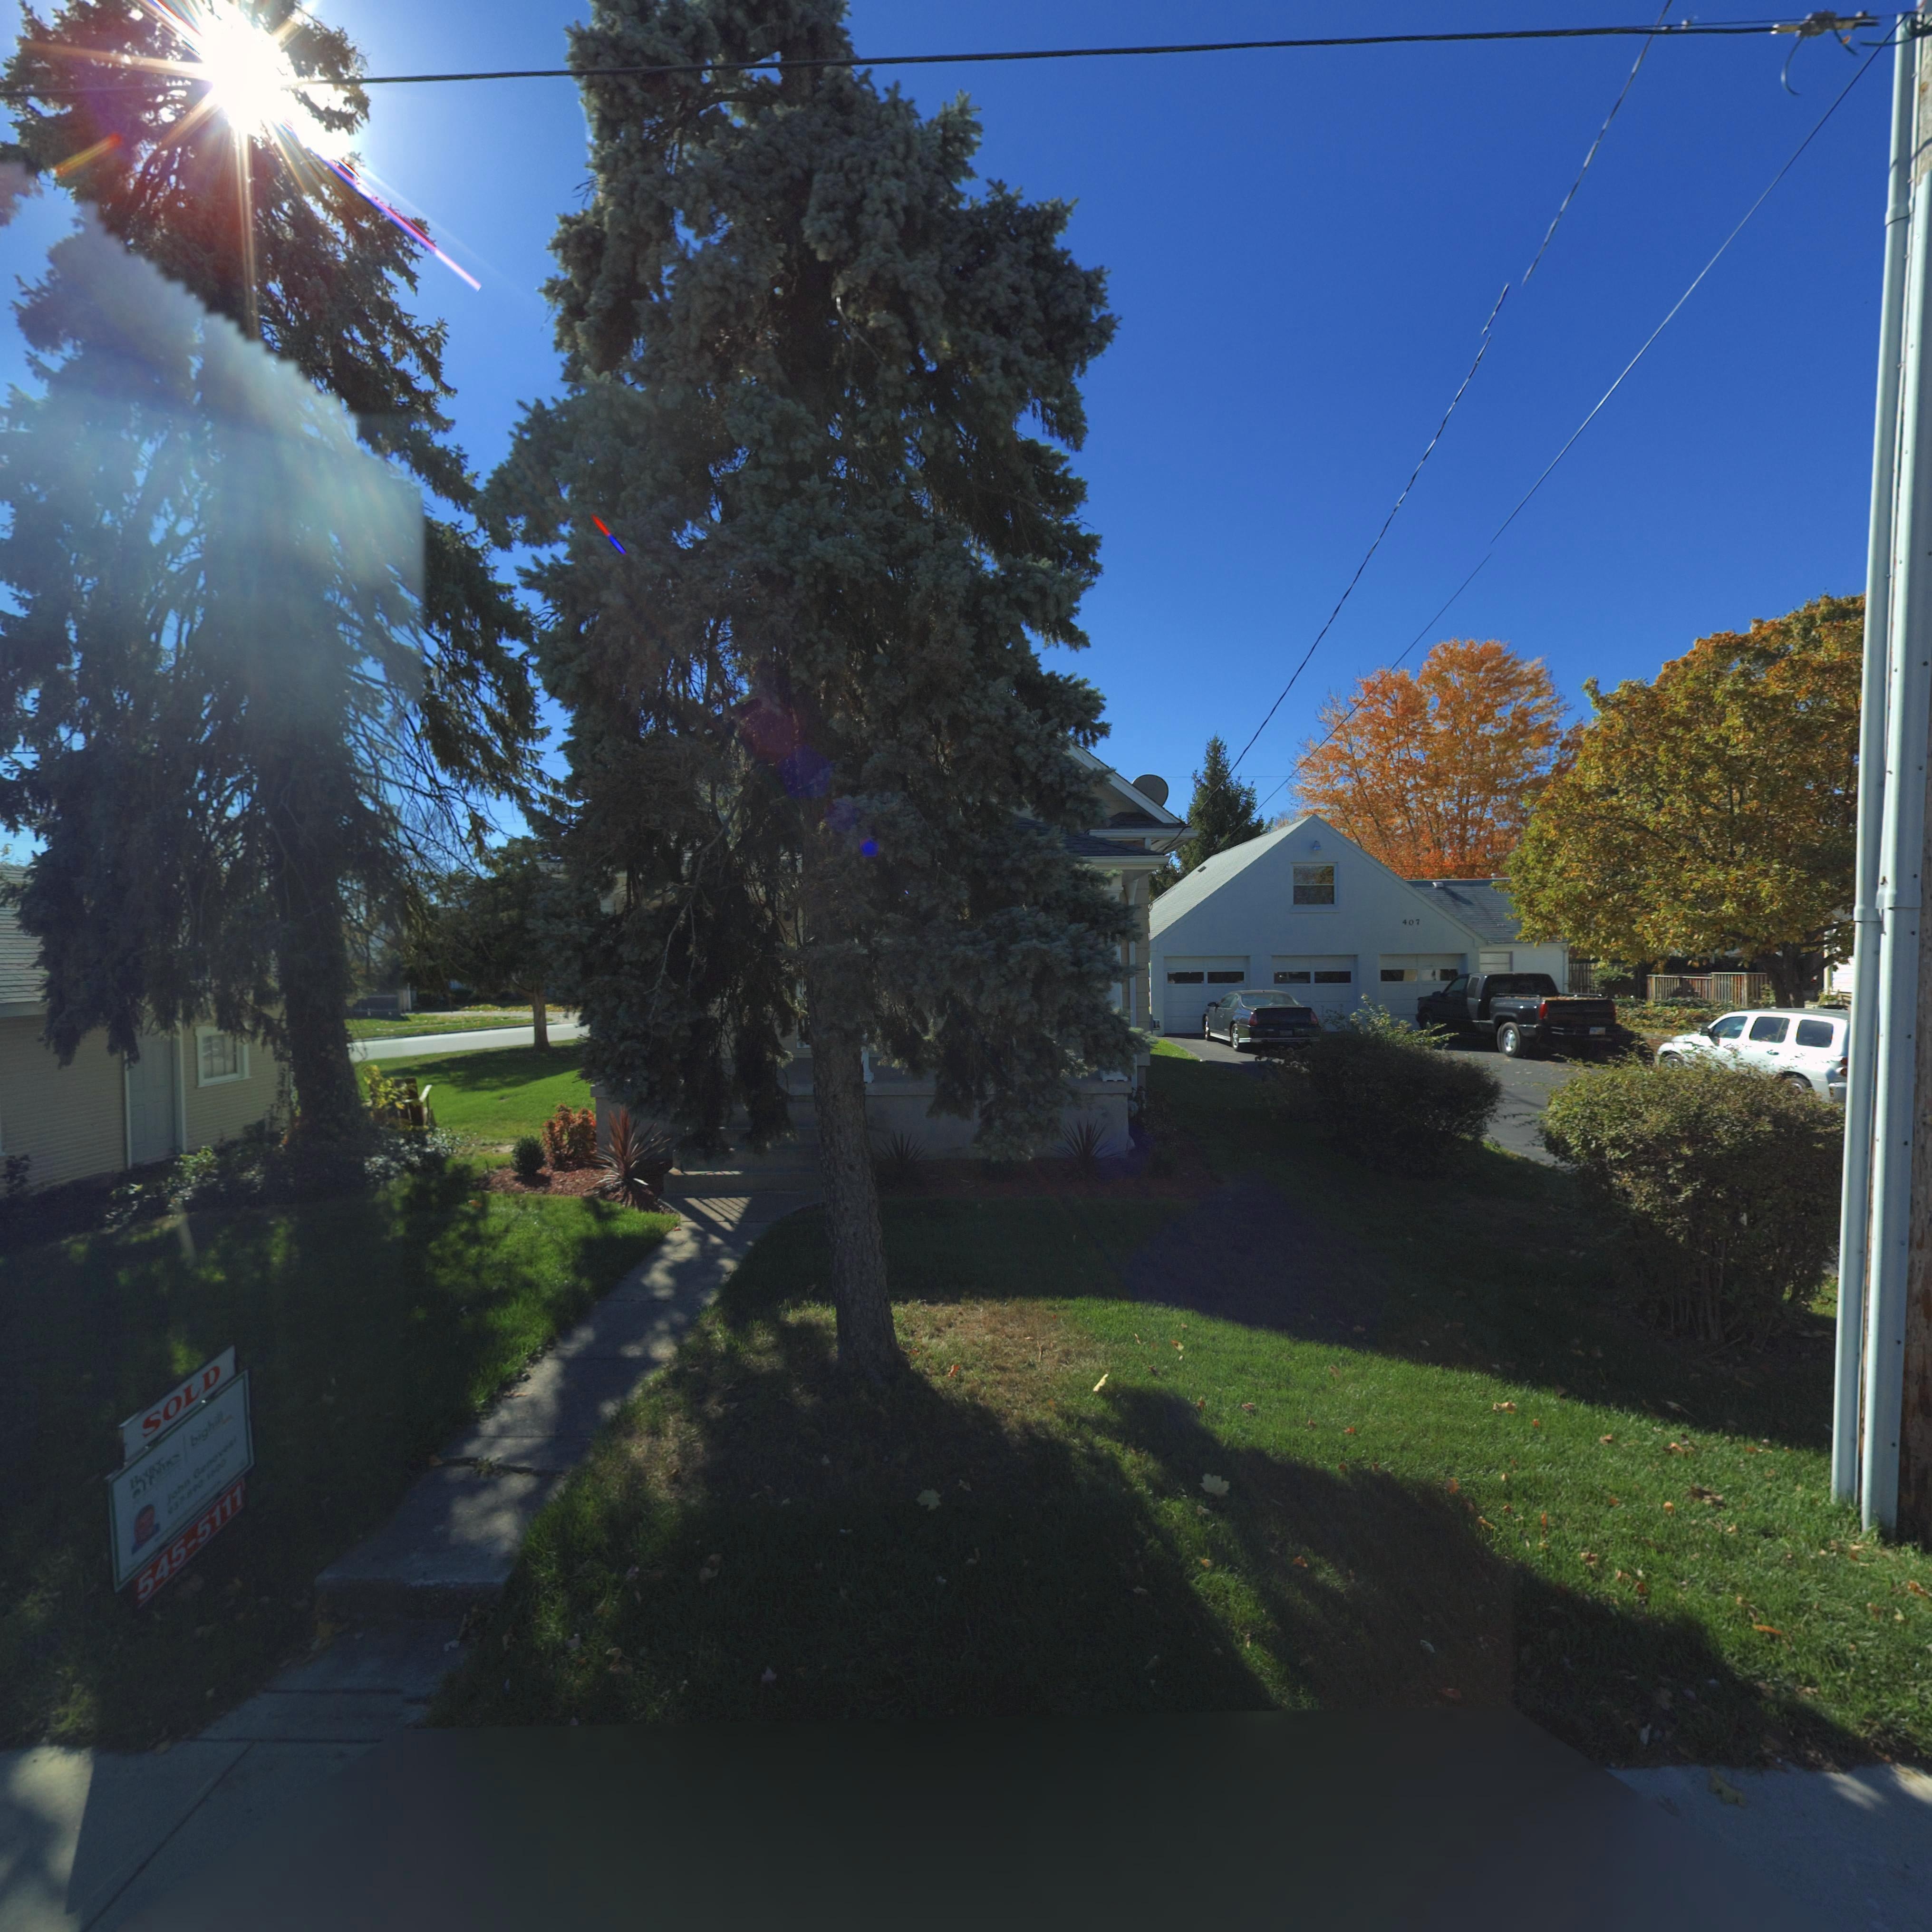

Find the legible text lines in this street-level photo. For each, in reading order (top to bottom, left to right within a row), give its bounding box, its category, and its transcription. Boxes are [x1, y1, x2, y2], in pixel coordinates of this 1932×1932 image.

[1401, 918, 1421, 926] StreetNumber: 407
[140, 1362, 223, 1442] None: SOLD
[188, 1408, 225, 1448] None: bighill
[127, 1454, 165, 1492] None: Better
[141, 1449, 183, 1493] None: Homes
[134, 1481, 245, 1606] None: 545-5111